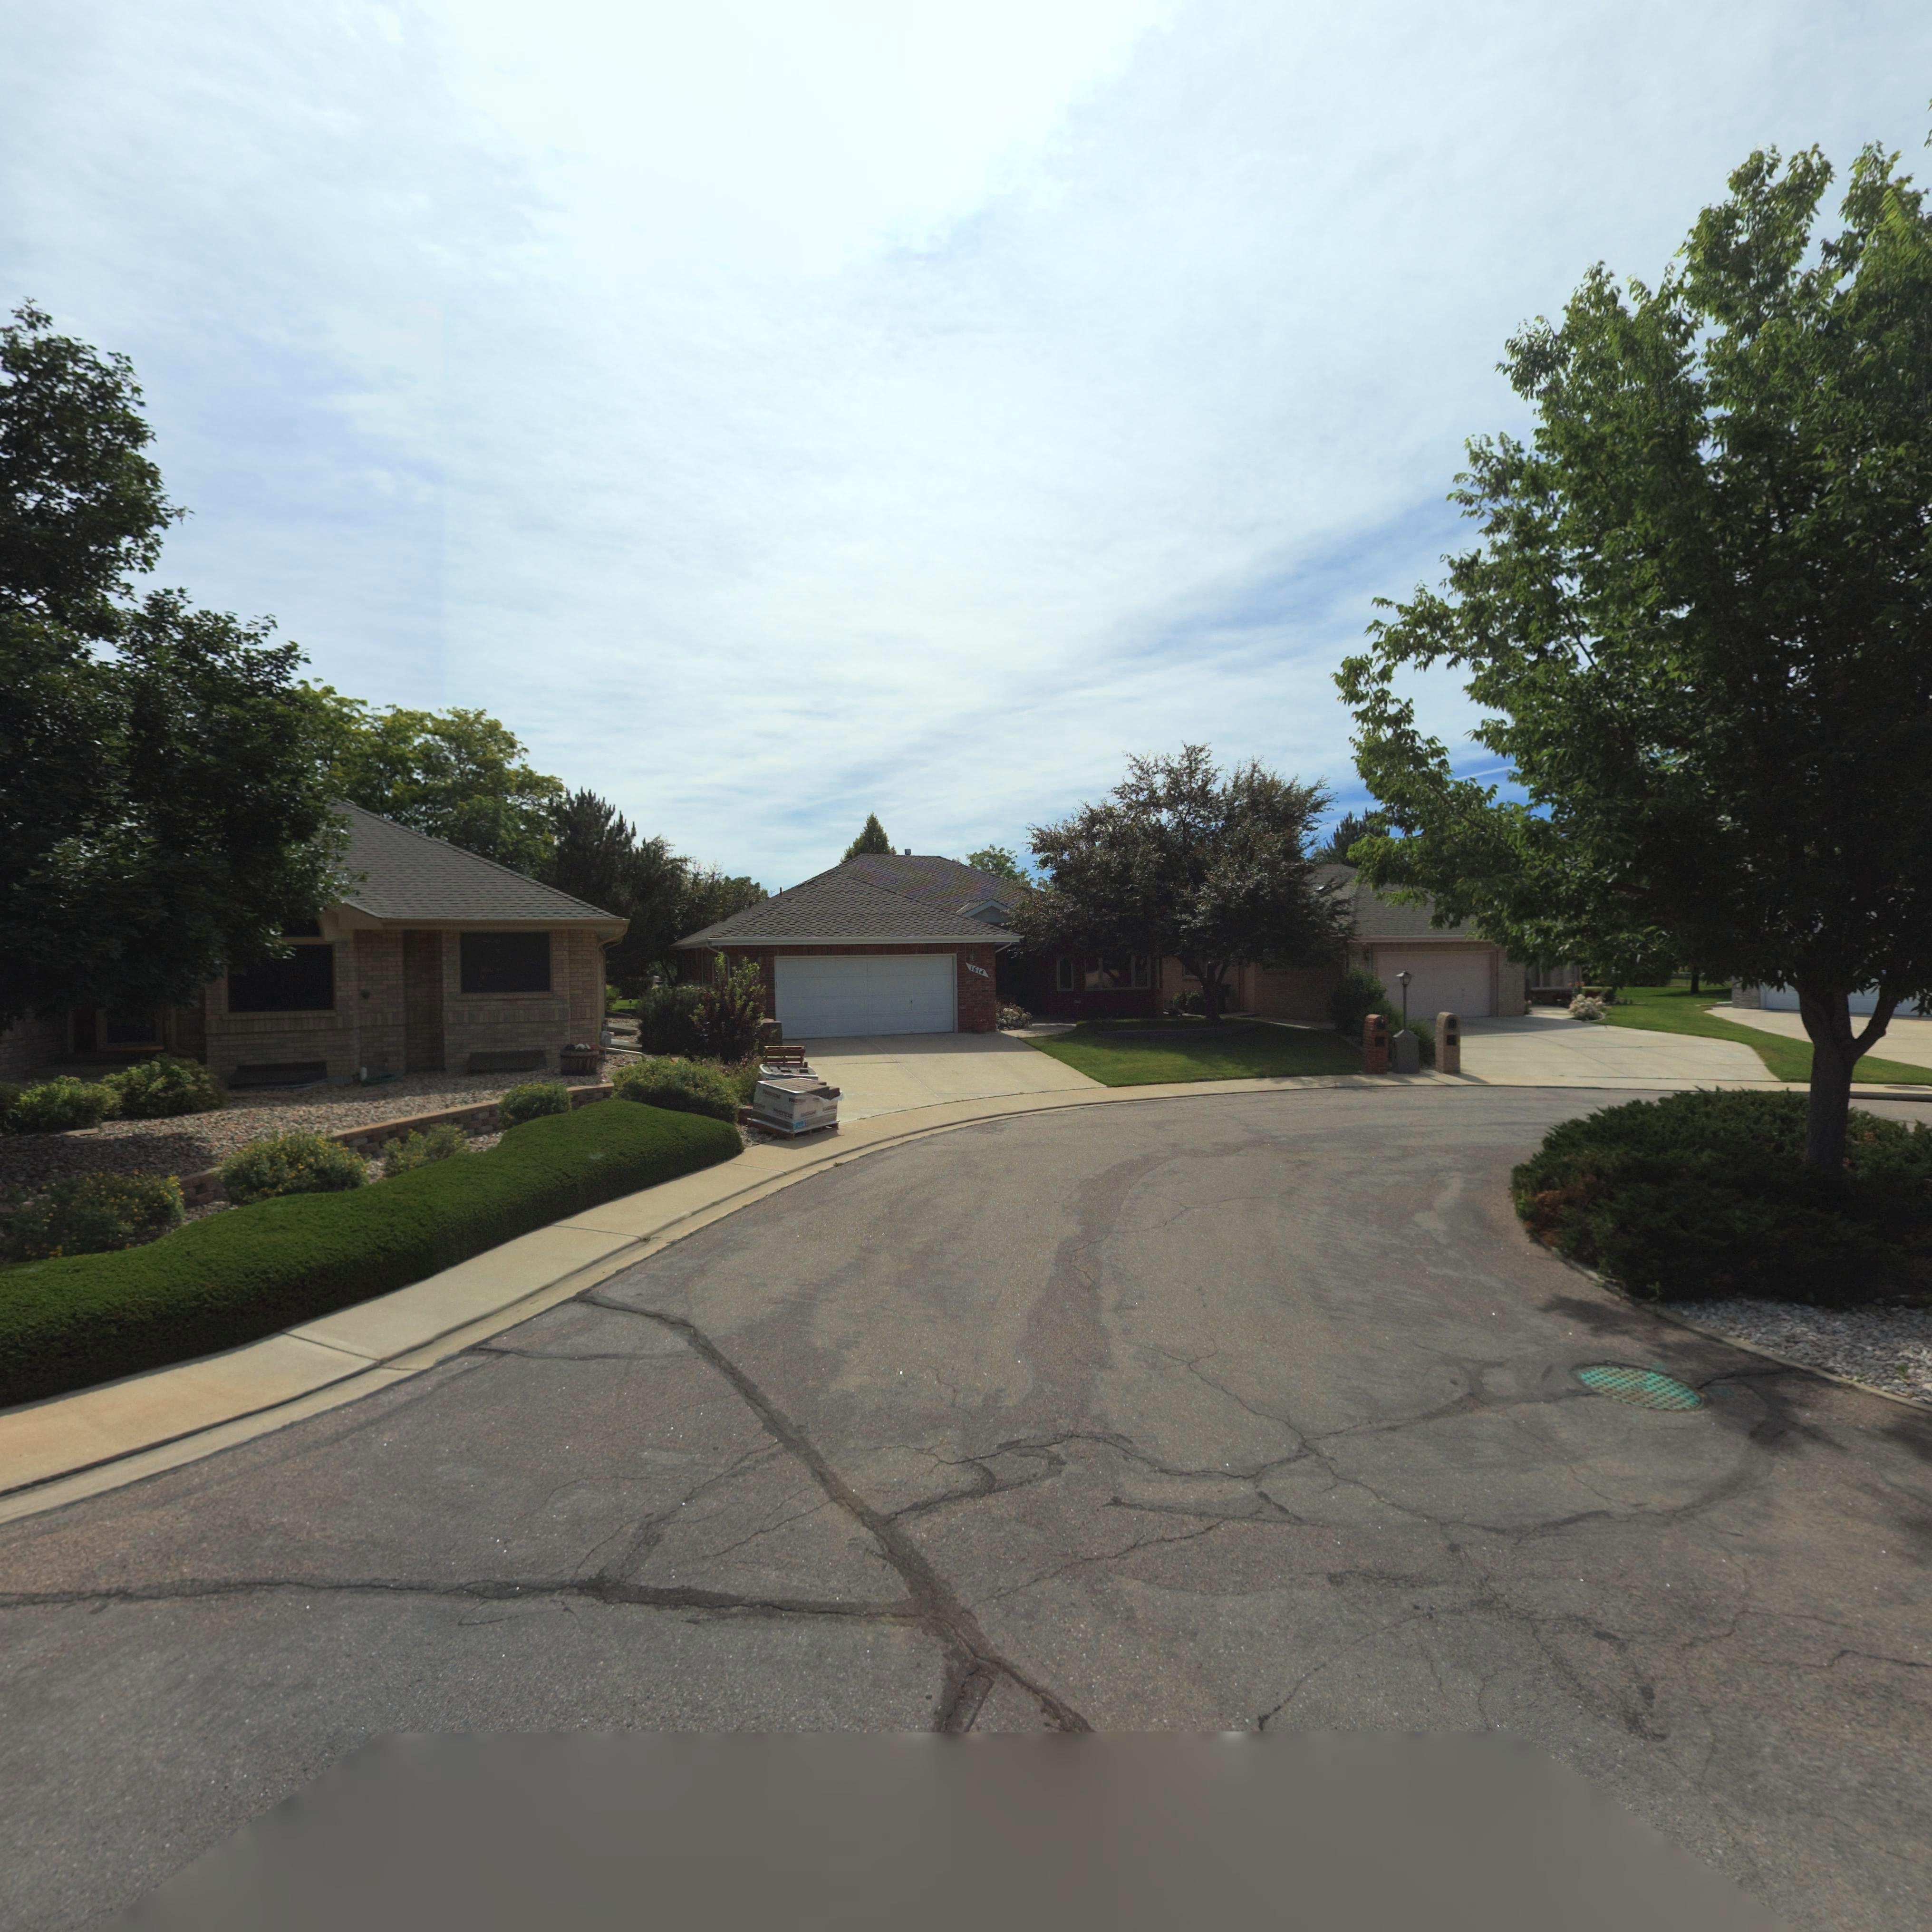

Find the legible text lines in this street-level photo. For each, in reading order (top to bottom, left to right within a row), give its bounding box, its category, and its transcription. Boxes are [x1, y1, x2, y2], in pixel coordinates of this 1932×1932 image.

[970, 965, 984, 975] StreetNumber: 1614